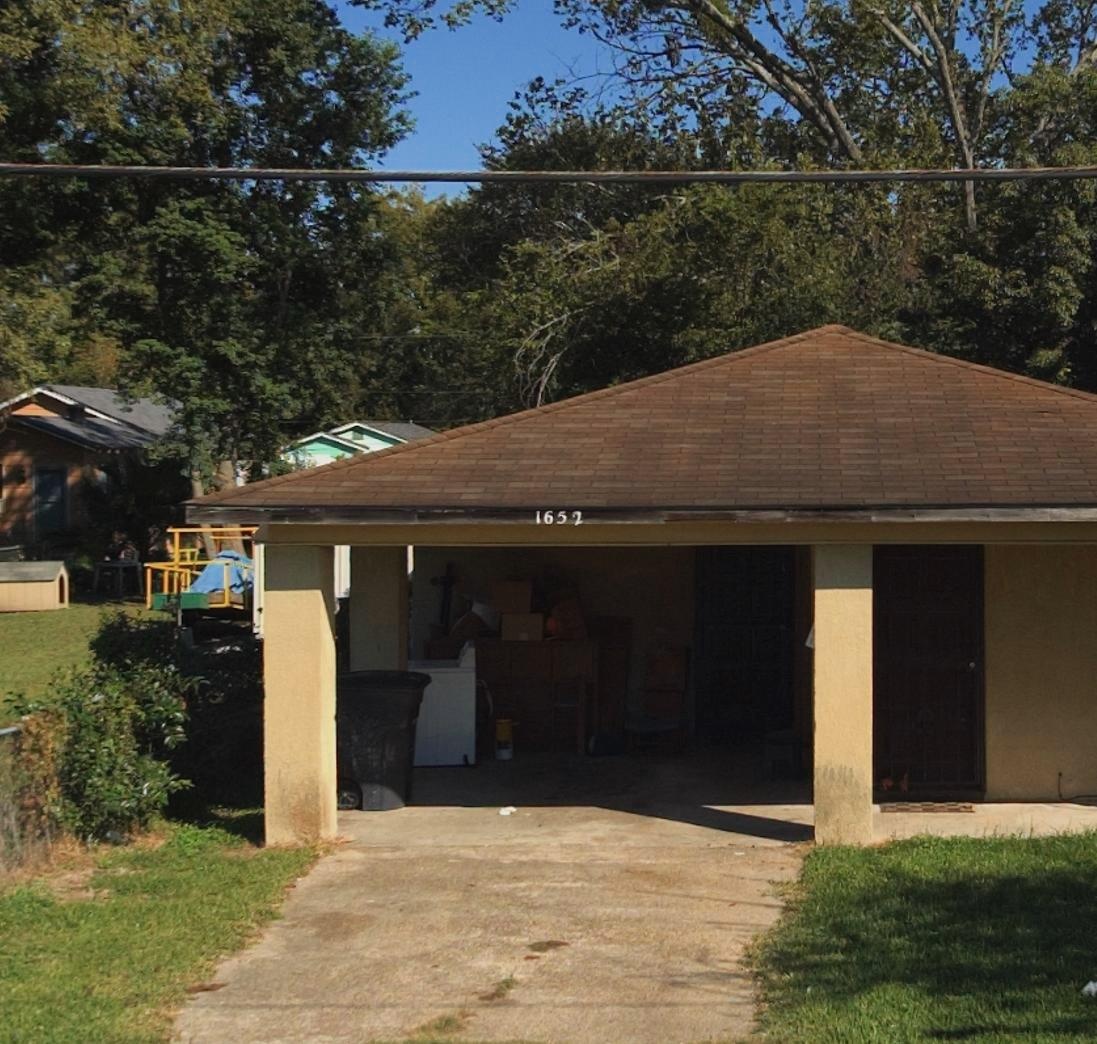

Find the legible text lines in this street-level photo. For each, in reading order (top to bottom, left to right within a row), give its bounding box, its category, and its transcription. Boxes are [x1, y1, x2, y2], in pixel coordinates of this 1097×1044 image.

[534, 509, 584, 526] StreetNumber: 1652